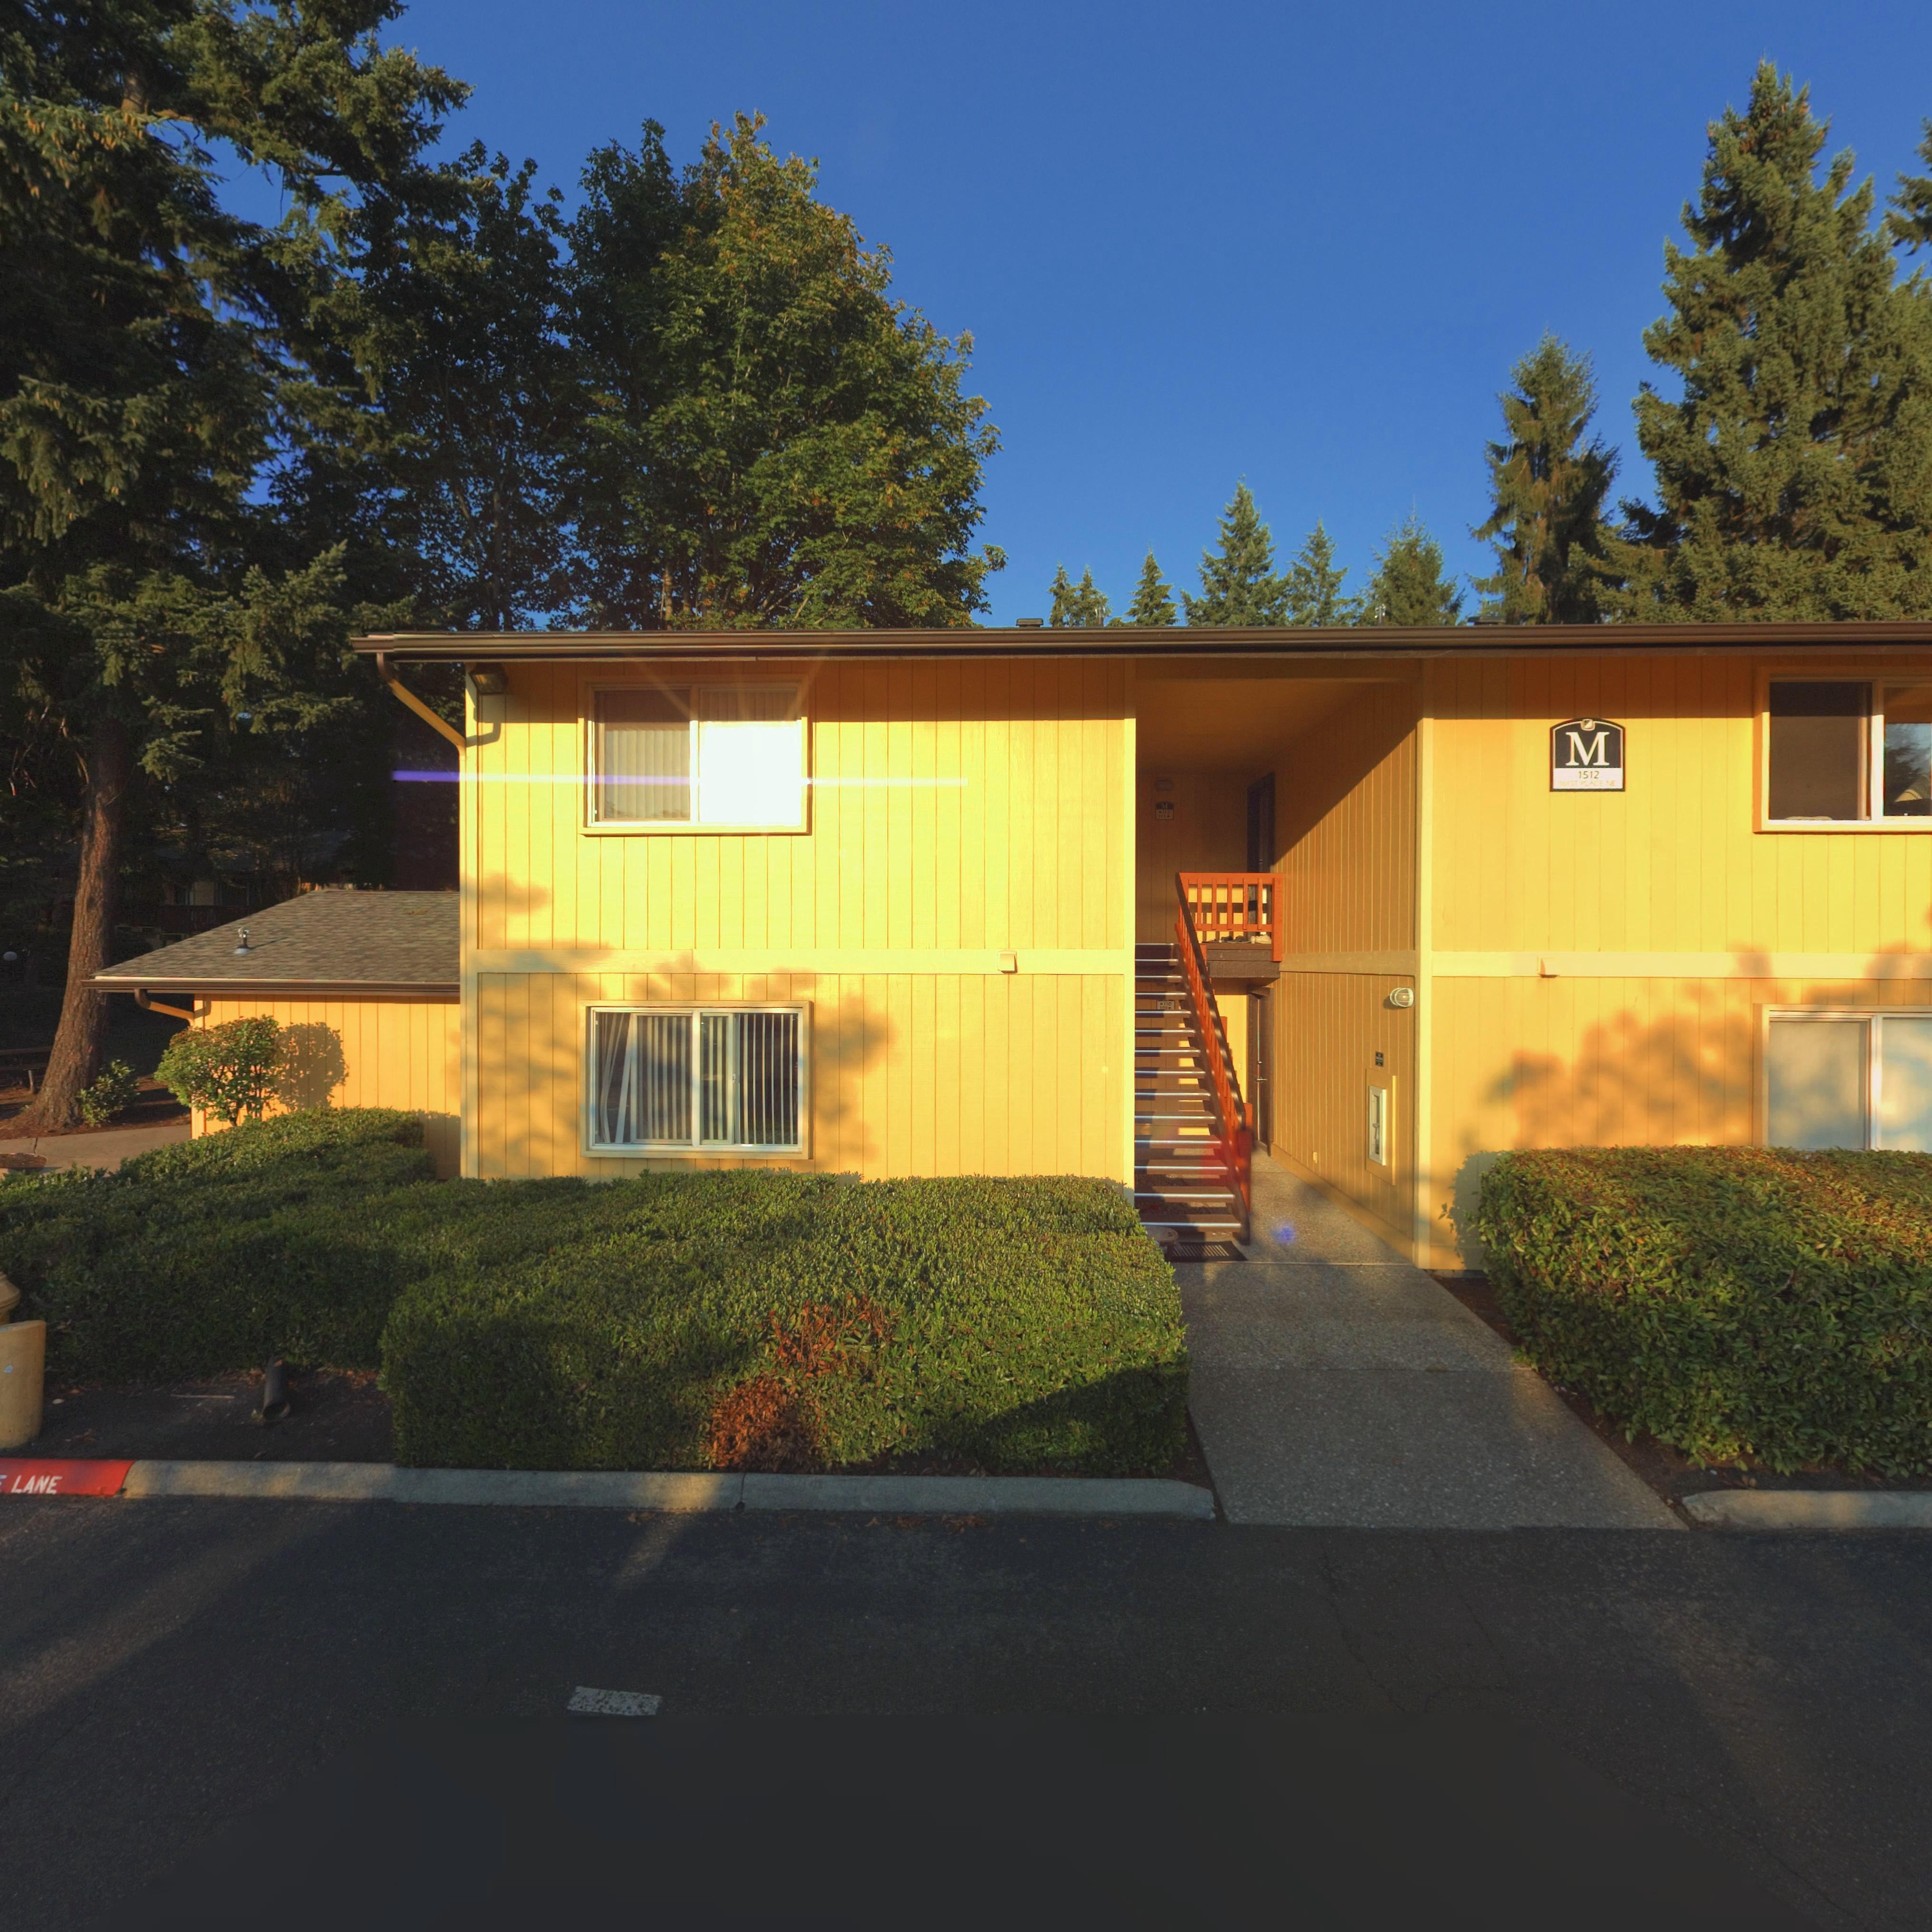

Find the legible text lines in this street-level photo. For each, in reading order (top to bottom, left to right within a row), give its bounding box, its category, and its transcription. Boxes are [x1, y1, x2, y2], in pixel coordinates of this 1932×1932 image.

[1577, 770, 1600, 779] StreetNumber: 1512